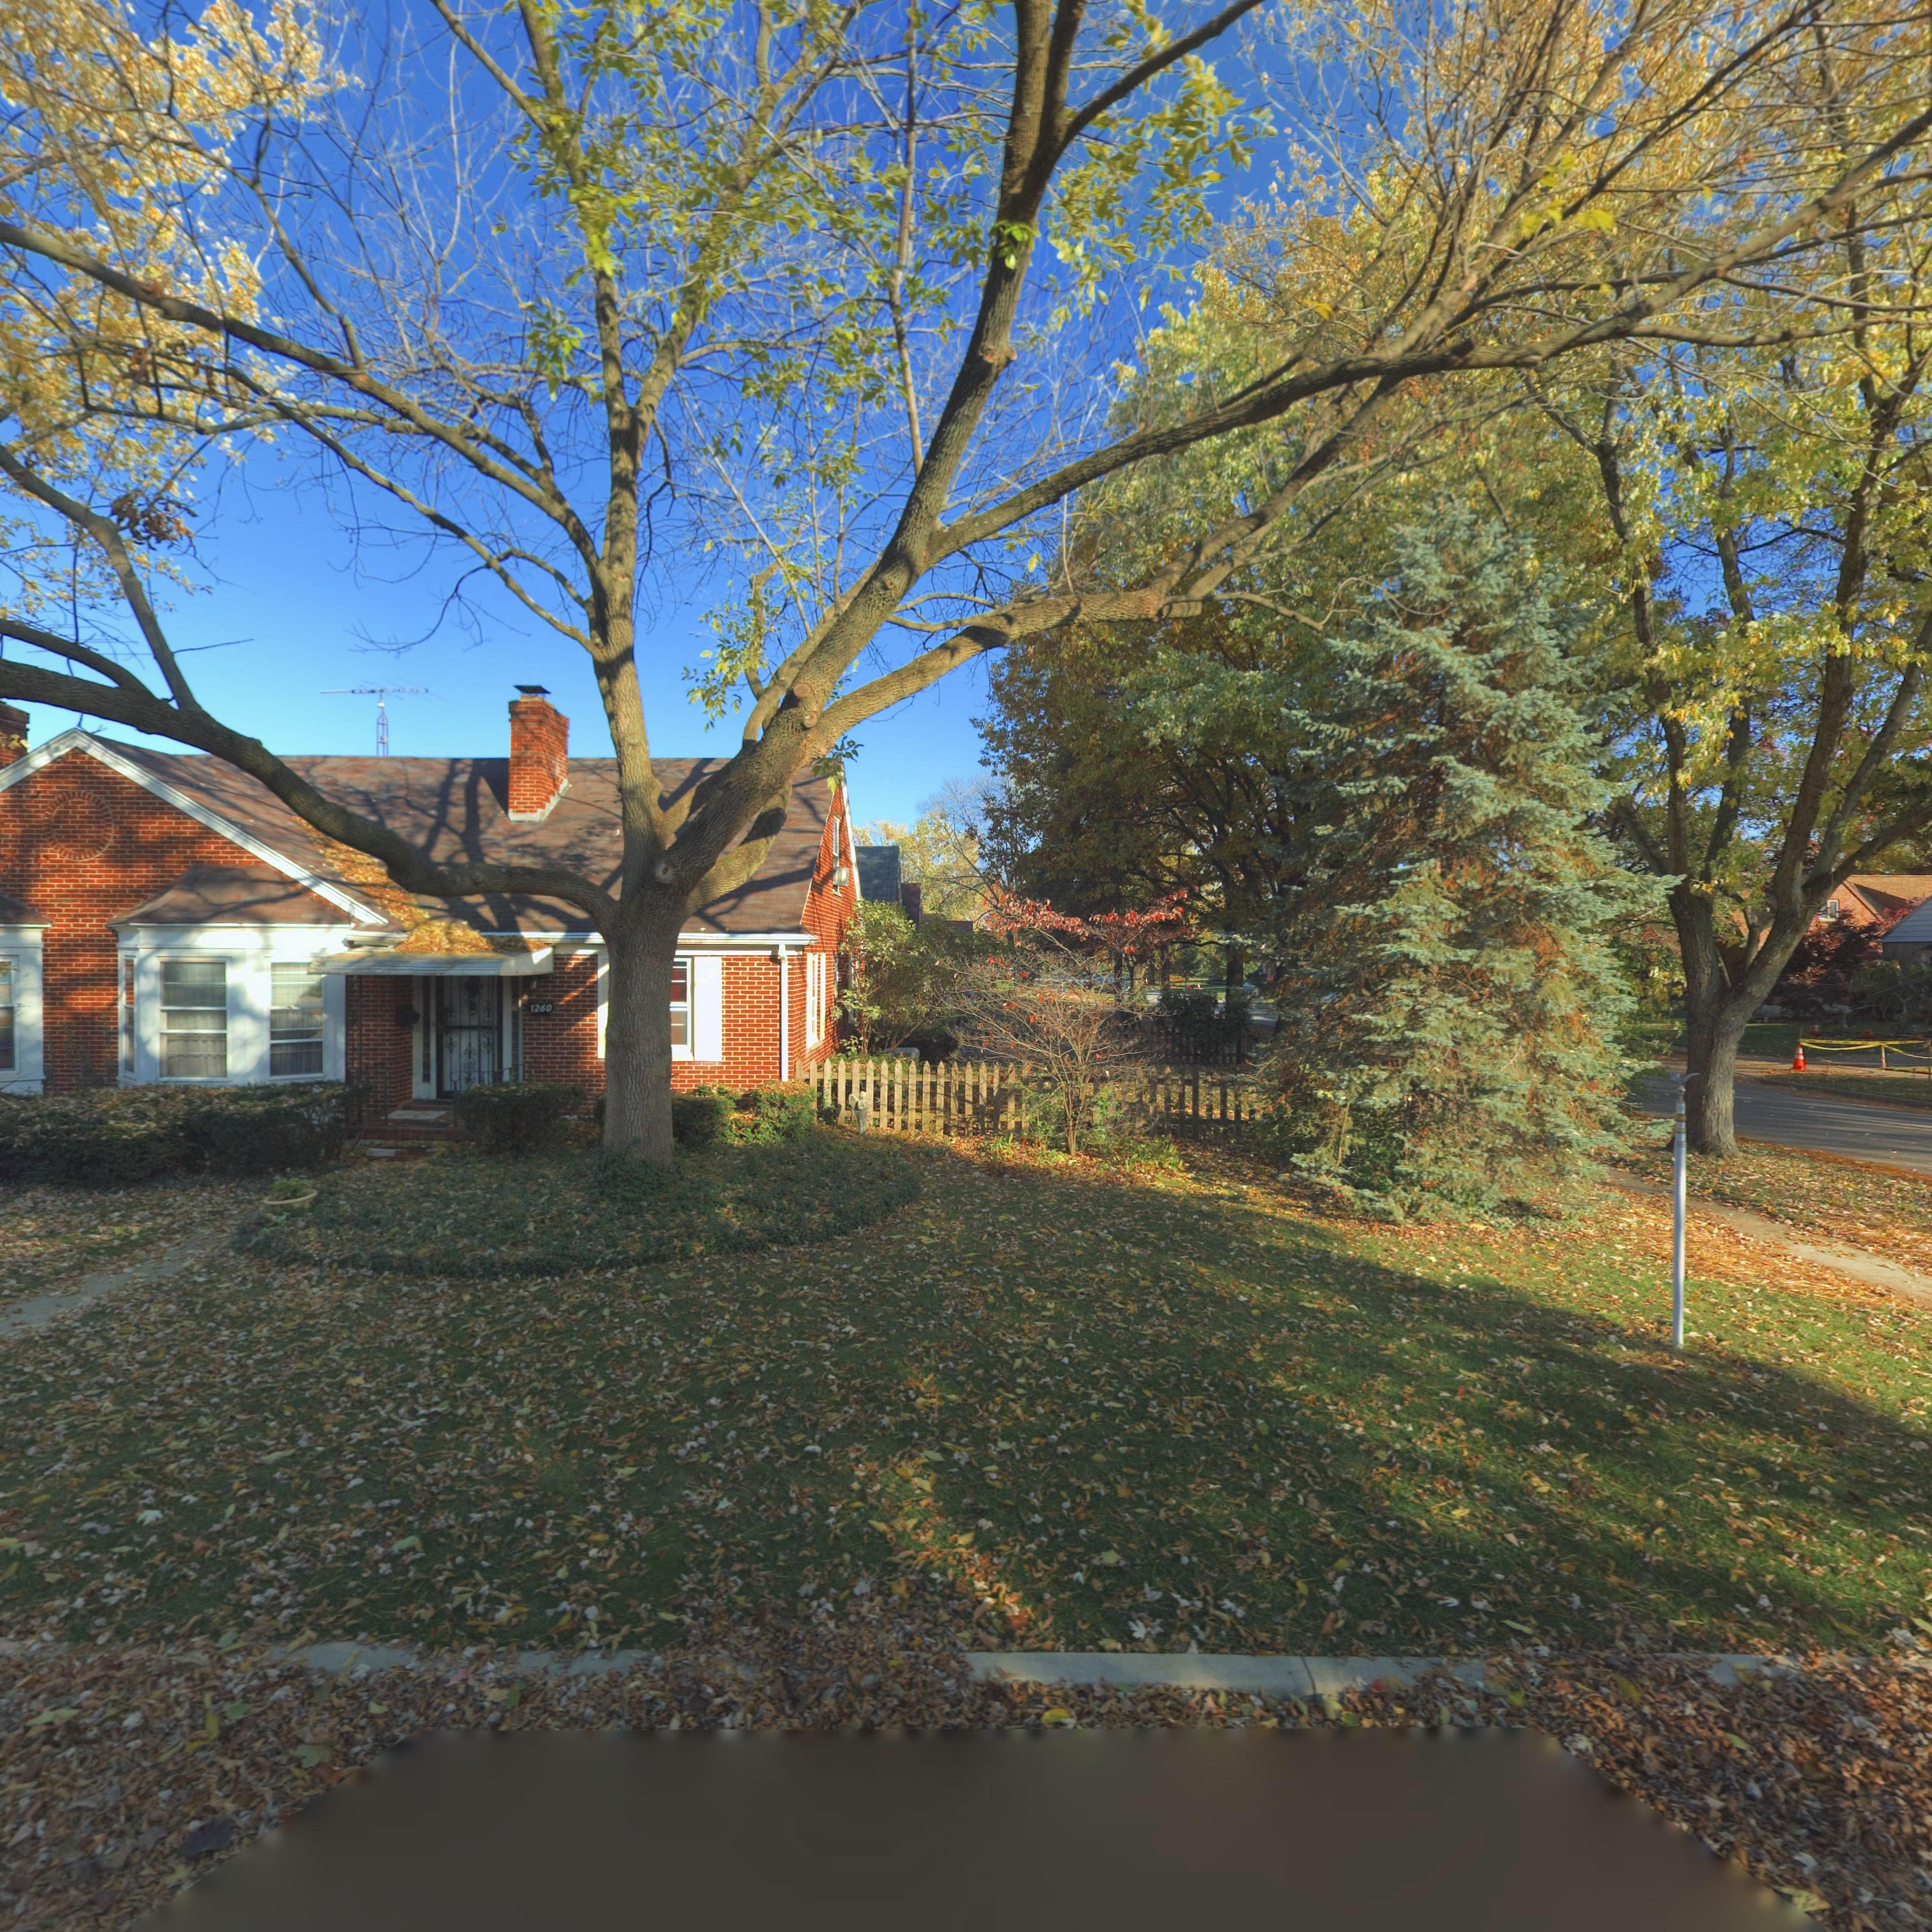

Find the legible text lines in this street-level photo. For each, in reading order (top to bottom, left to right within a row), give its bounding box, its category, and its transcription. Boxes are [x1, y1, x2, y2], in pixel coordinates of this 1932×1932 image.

[530, 1003, 554, 1014] StreetNumber: 1260